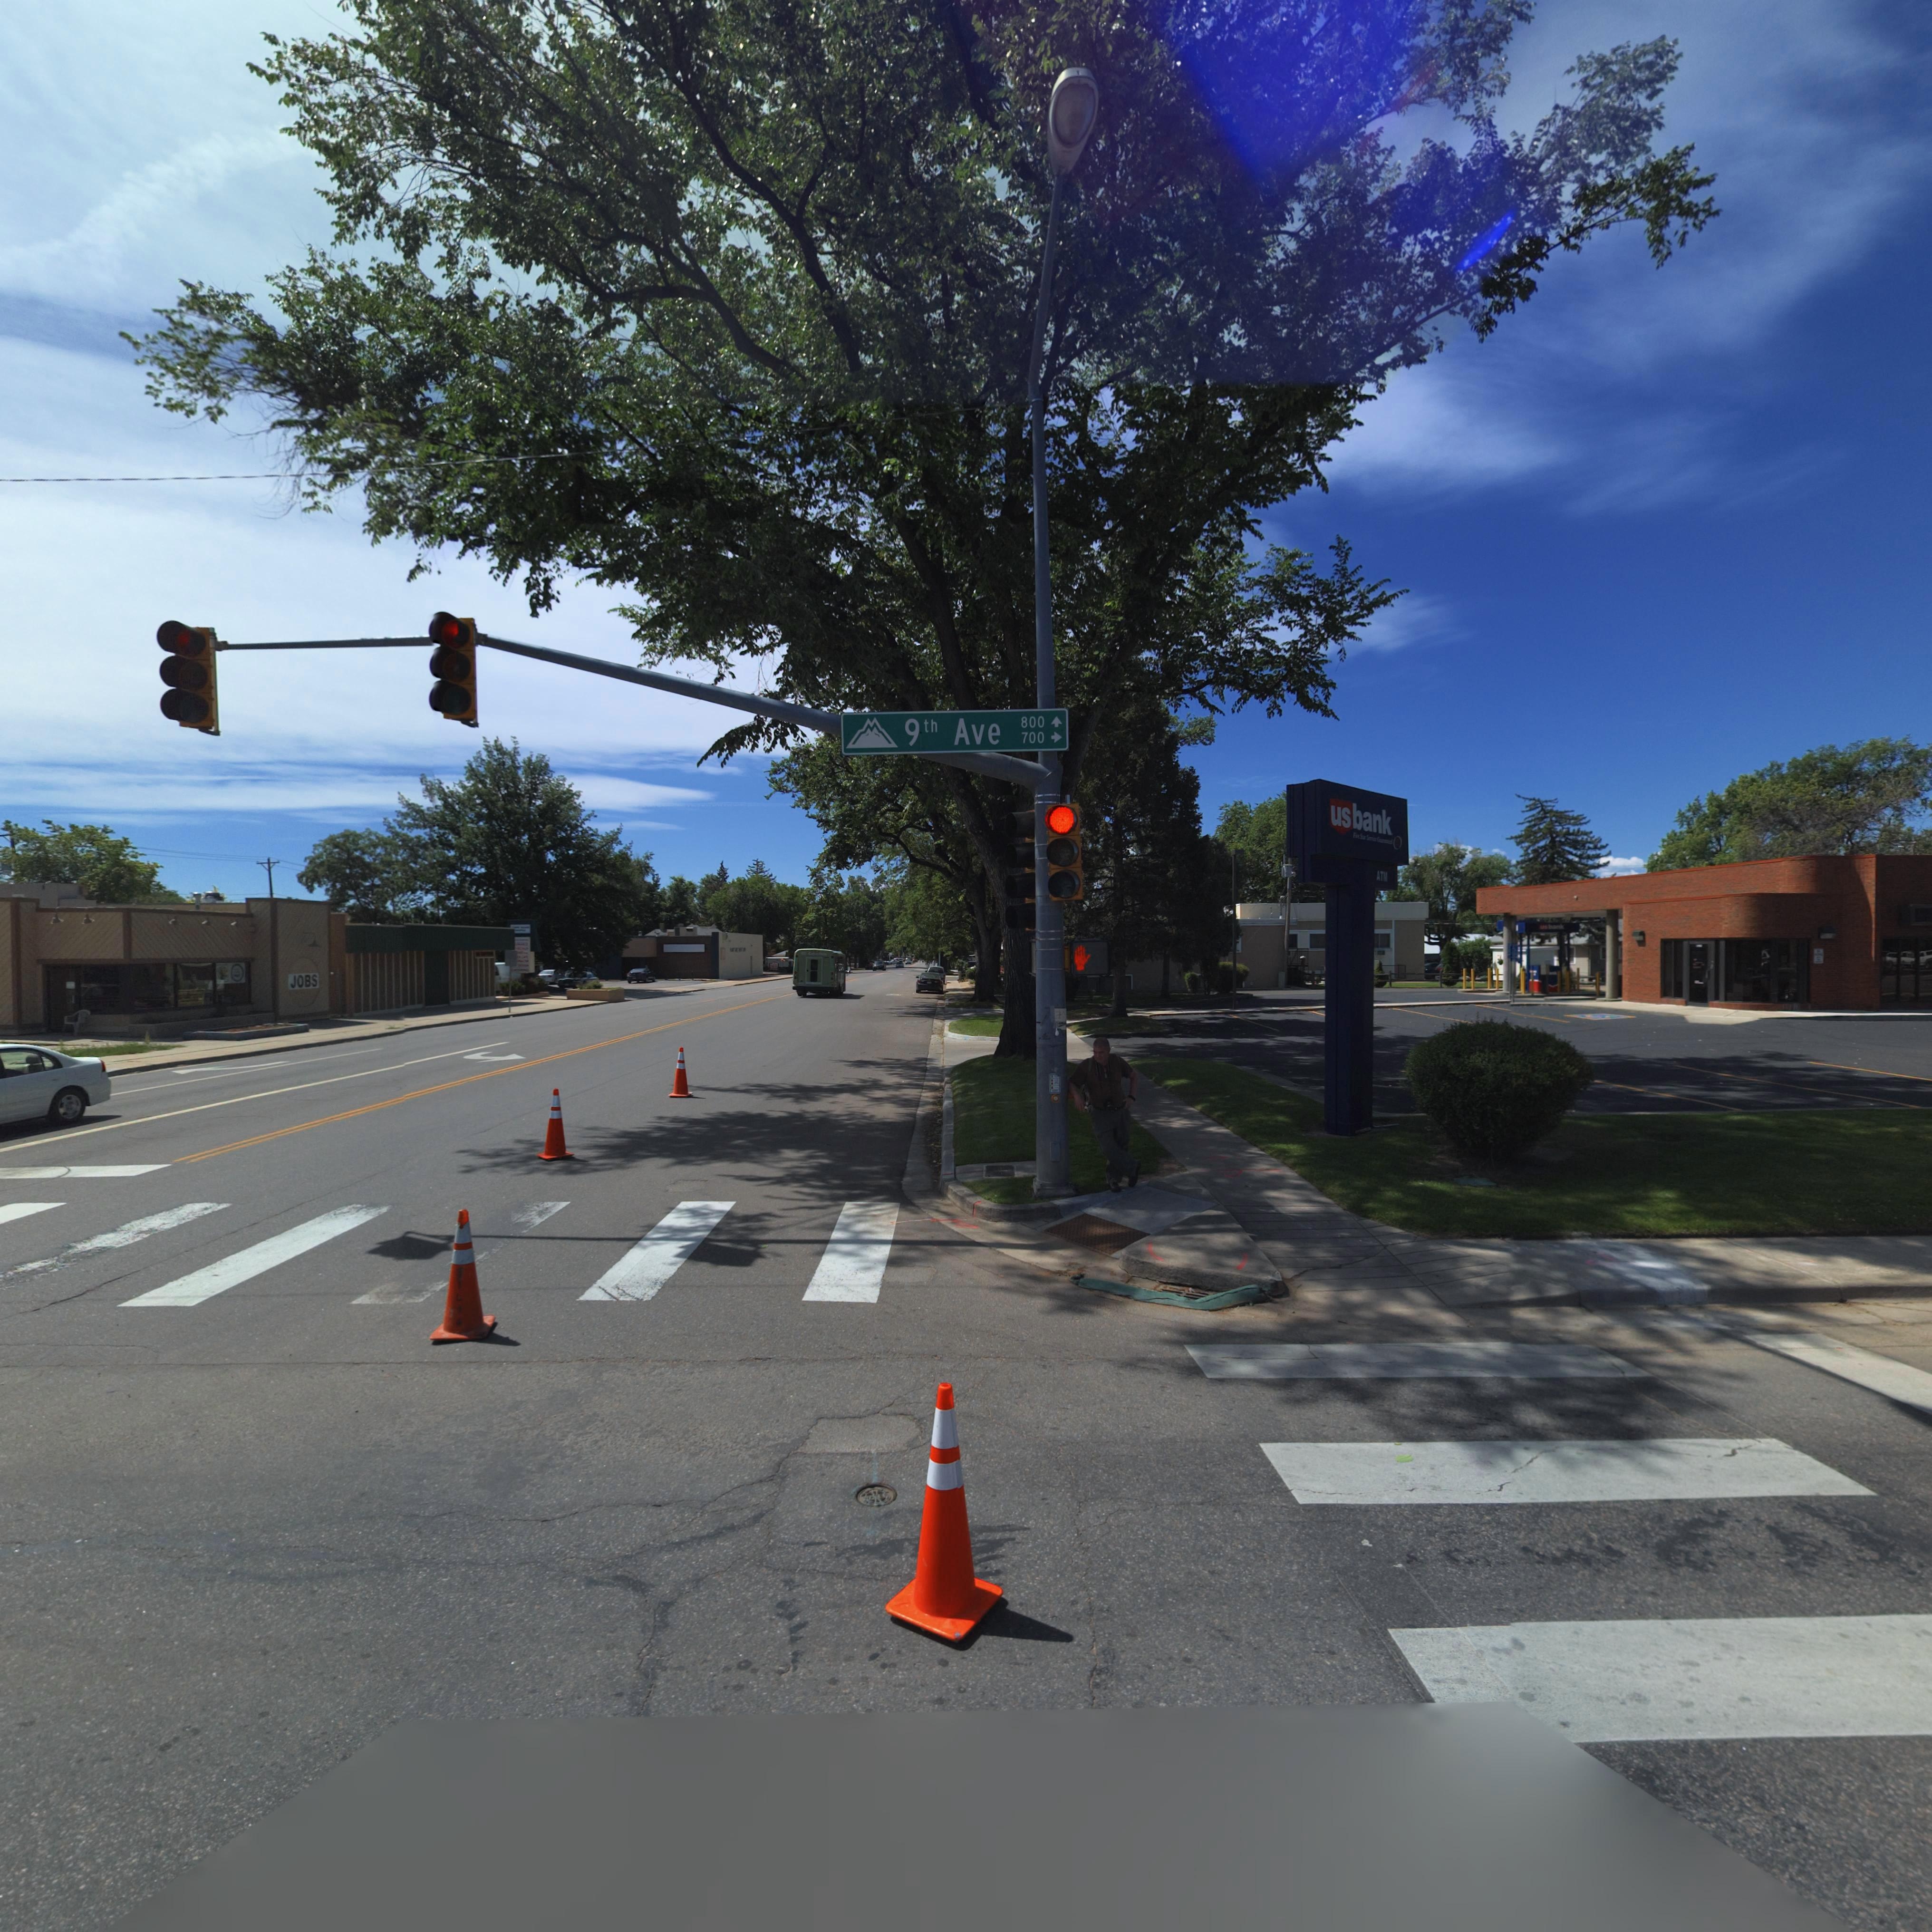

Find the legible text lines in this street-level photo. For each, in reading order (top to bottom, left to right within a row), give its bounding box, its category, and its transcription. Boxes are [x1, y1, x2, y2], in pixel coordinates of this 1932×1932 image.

[1021, 715, 1045, 728] StreetNumberRange: 800
[903, 717, 1002, 747] StreetName: 9th Ave
[1021, 731, 1063, 744] StreetNumberRange: 700->
[1330, 802, 1393, 836] BusinessName: us bank
[1539, 923, 1565, 929] BusinessName: ** b***